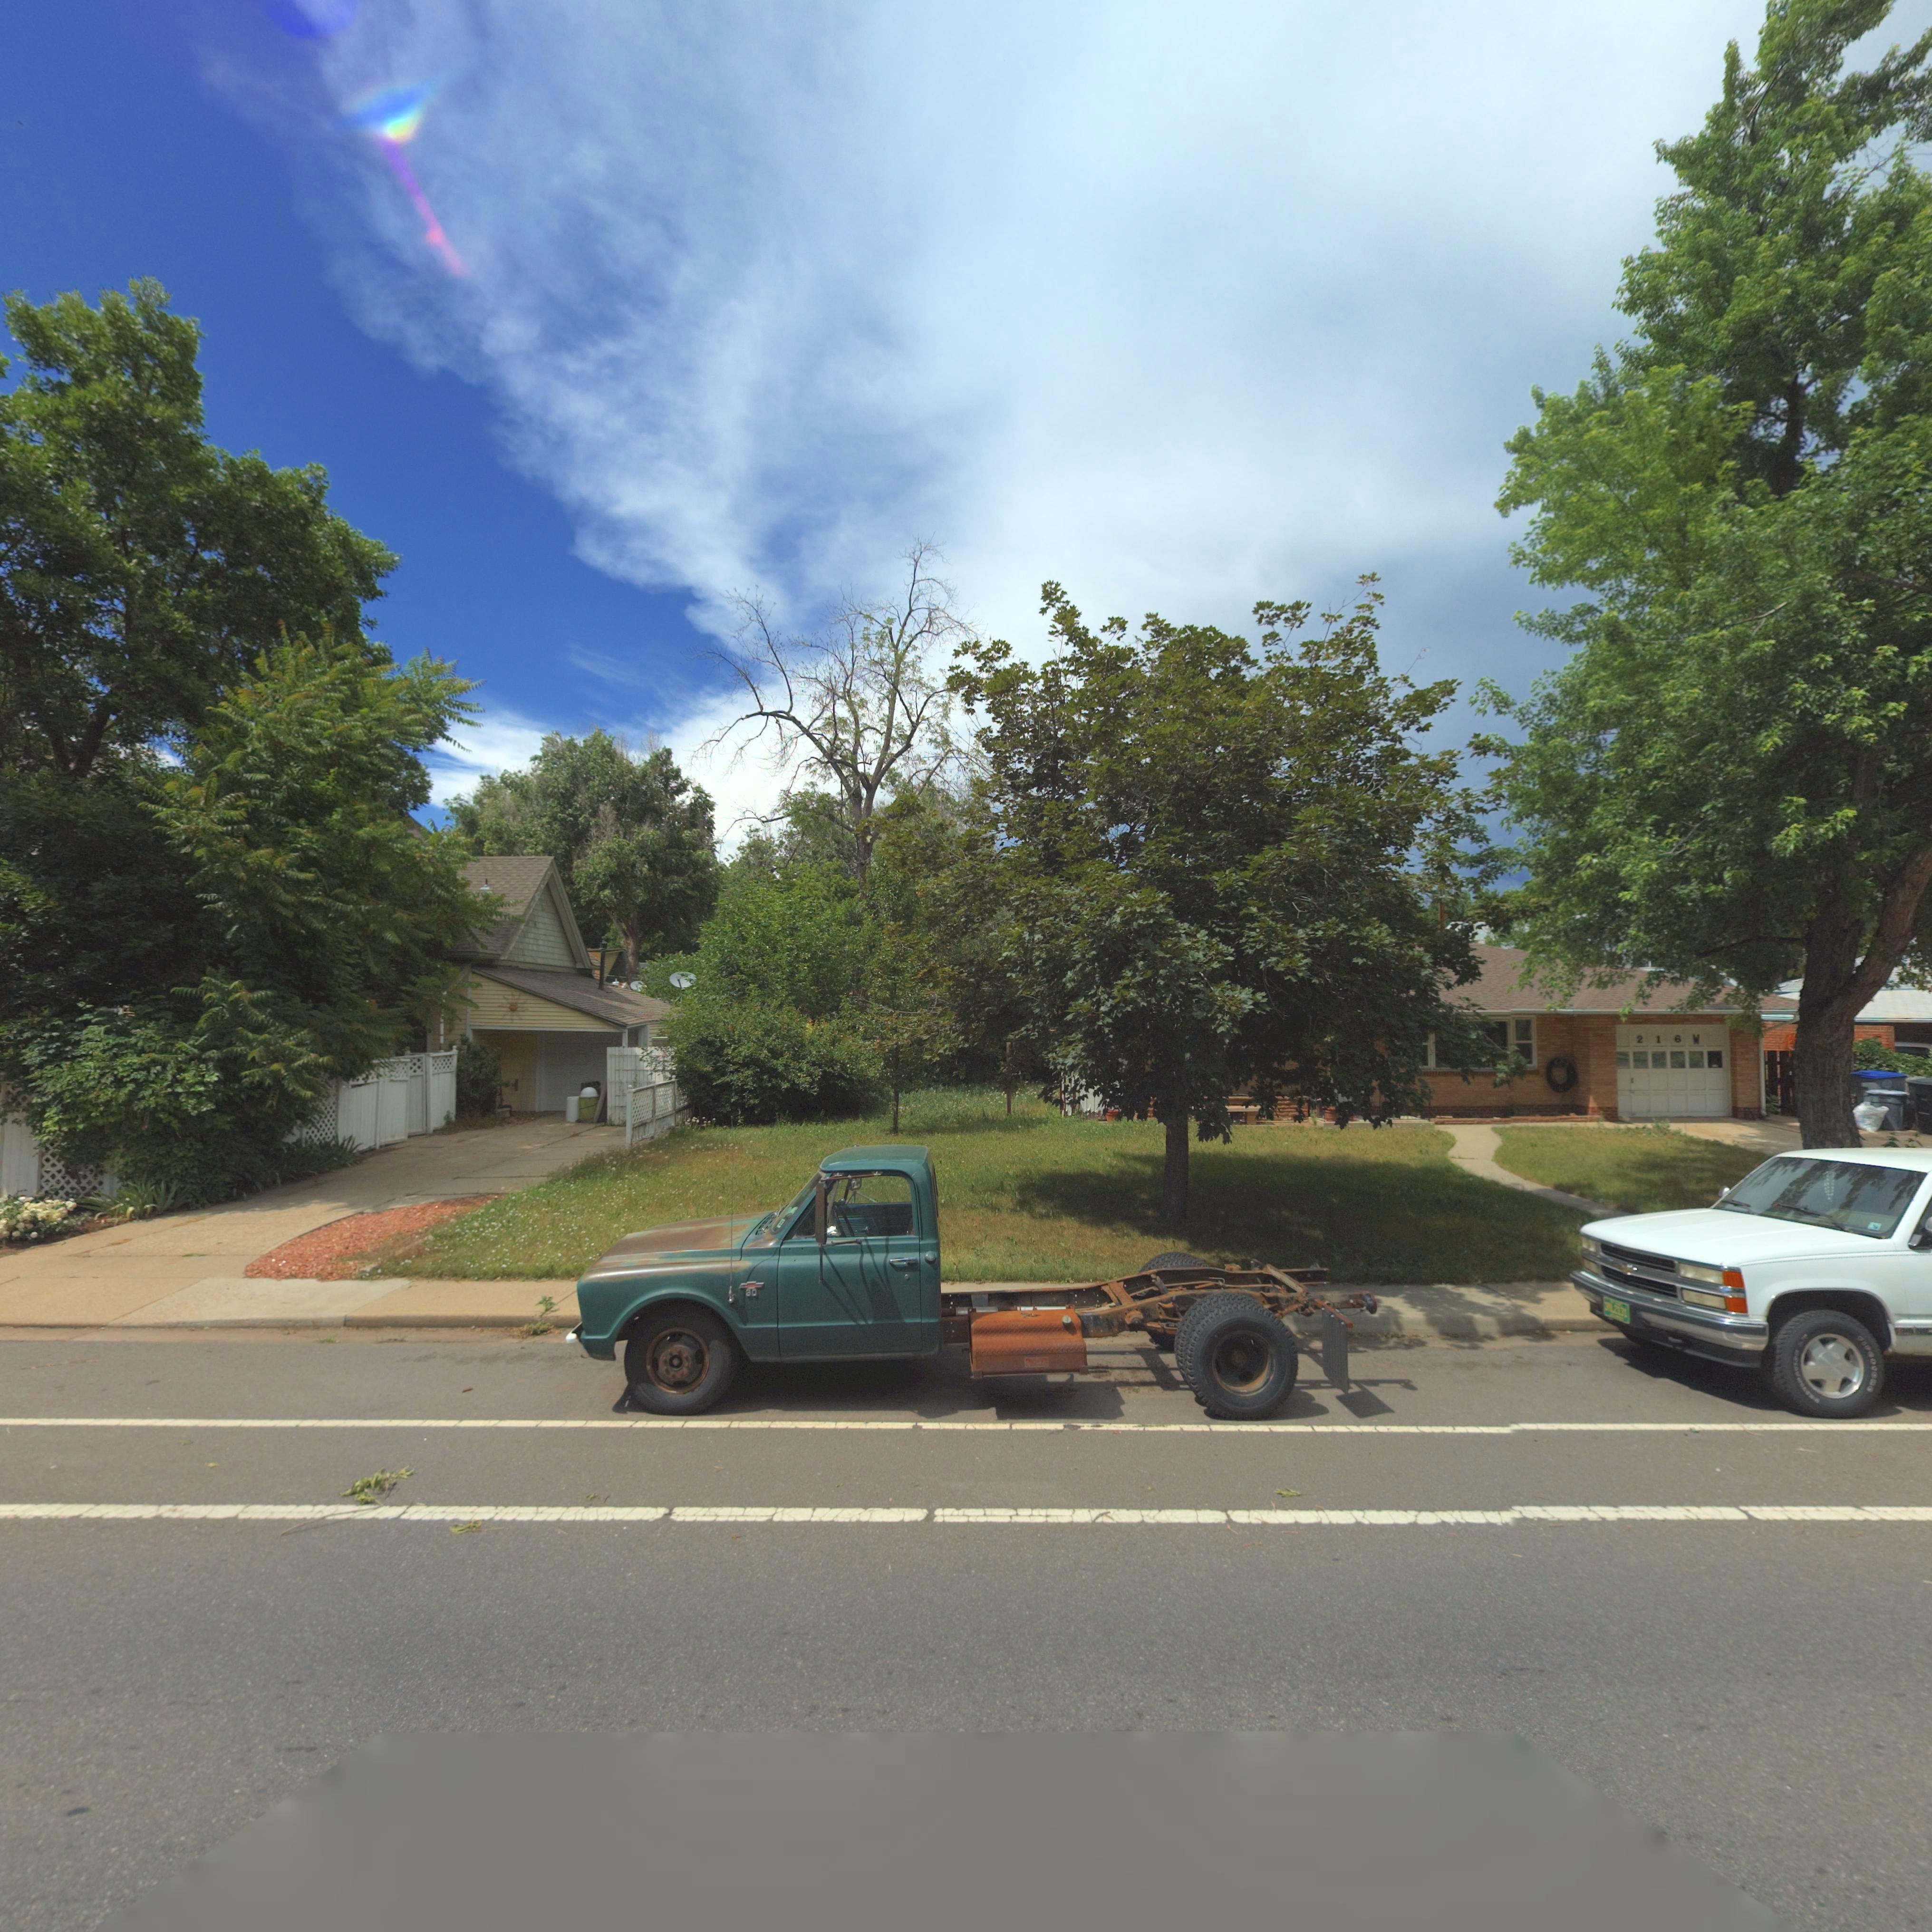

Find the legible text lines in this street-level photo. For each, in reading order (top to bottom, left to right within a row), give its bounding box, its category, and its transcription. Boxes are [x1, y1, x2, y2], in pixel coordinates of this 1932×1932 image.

[1634, 1034, 1683, 1045] StreetNumber: 216 W